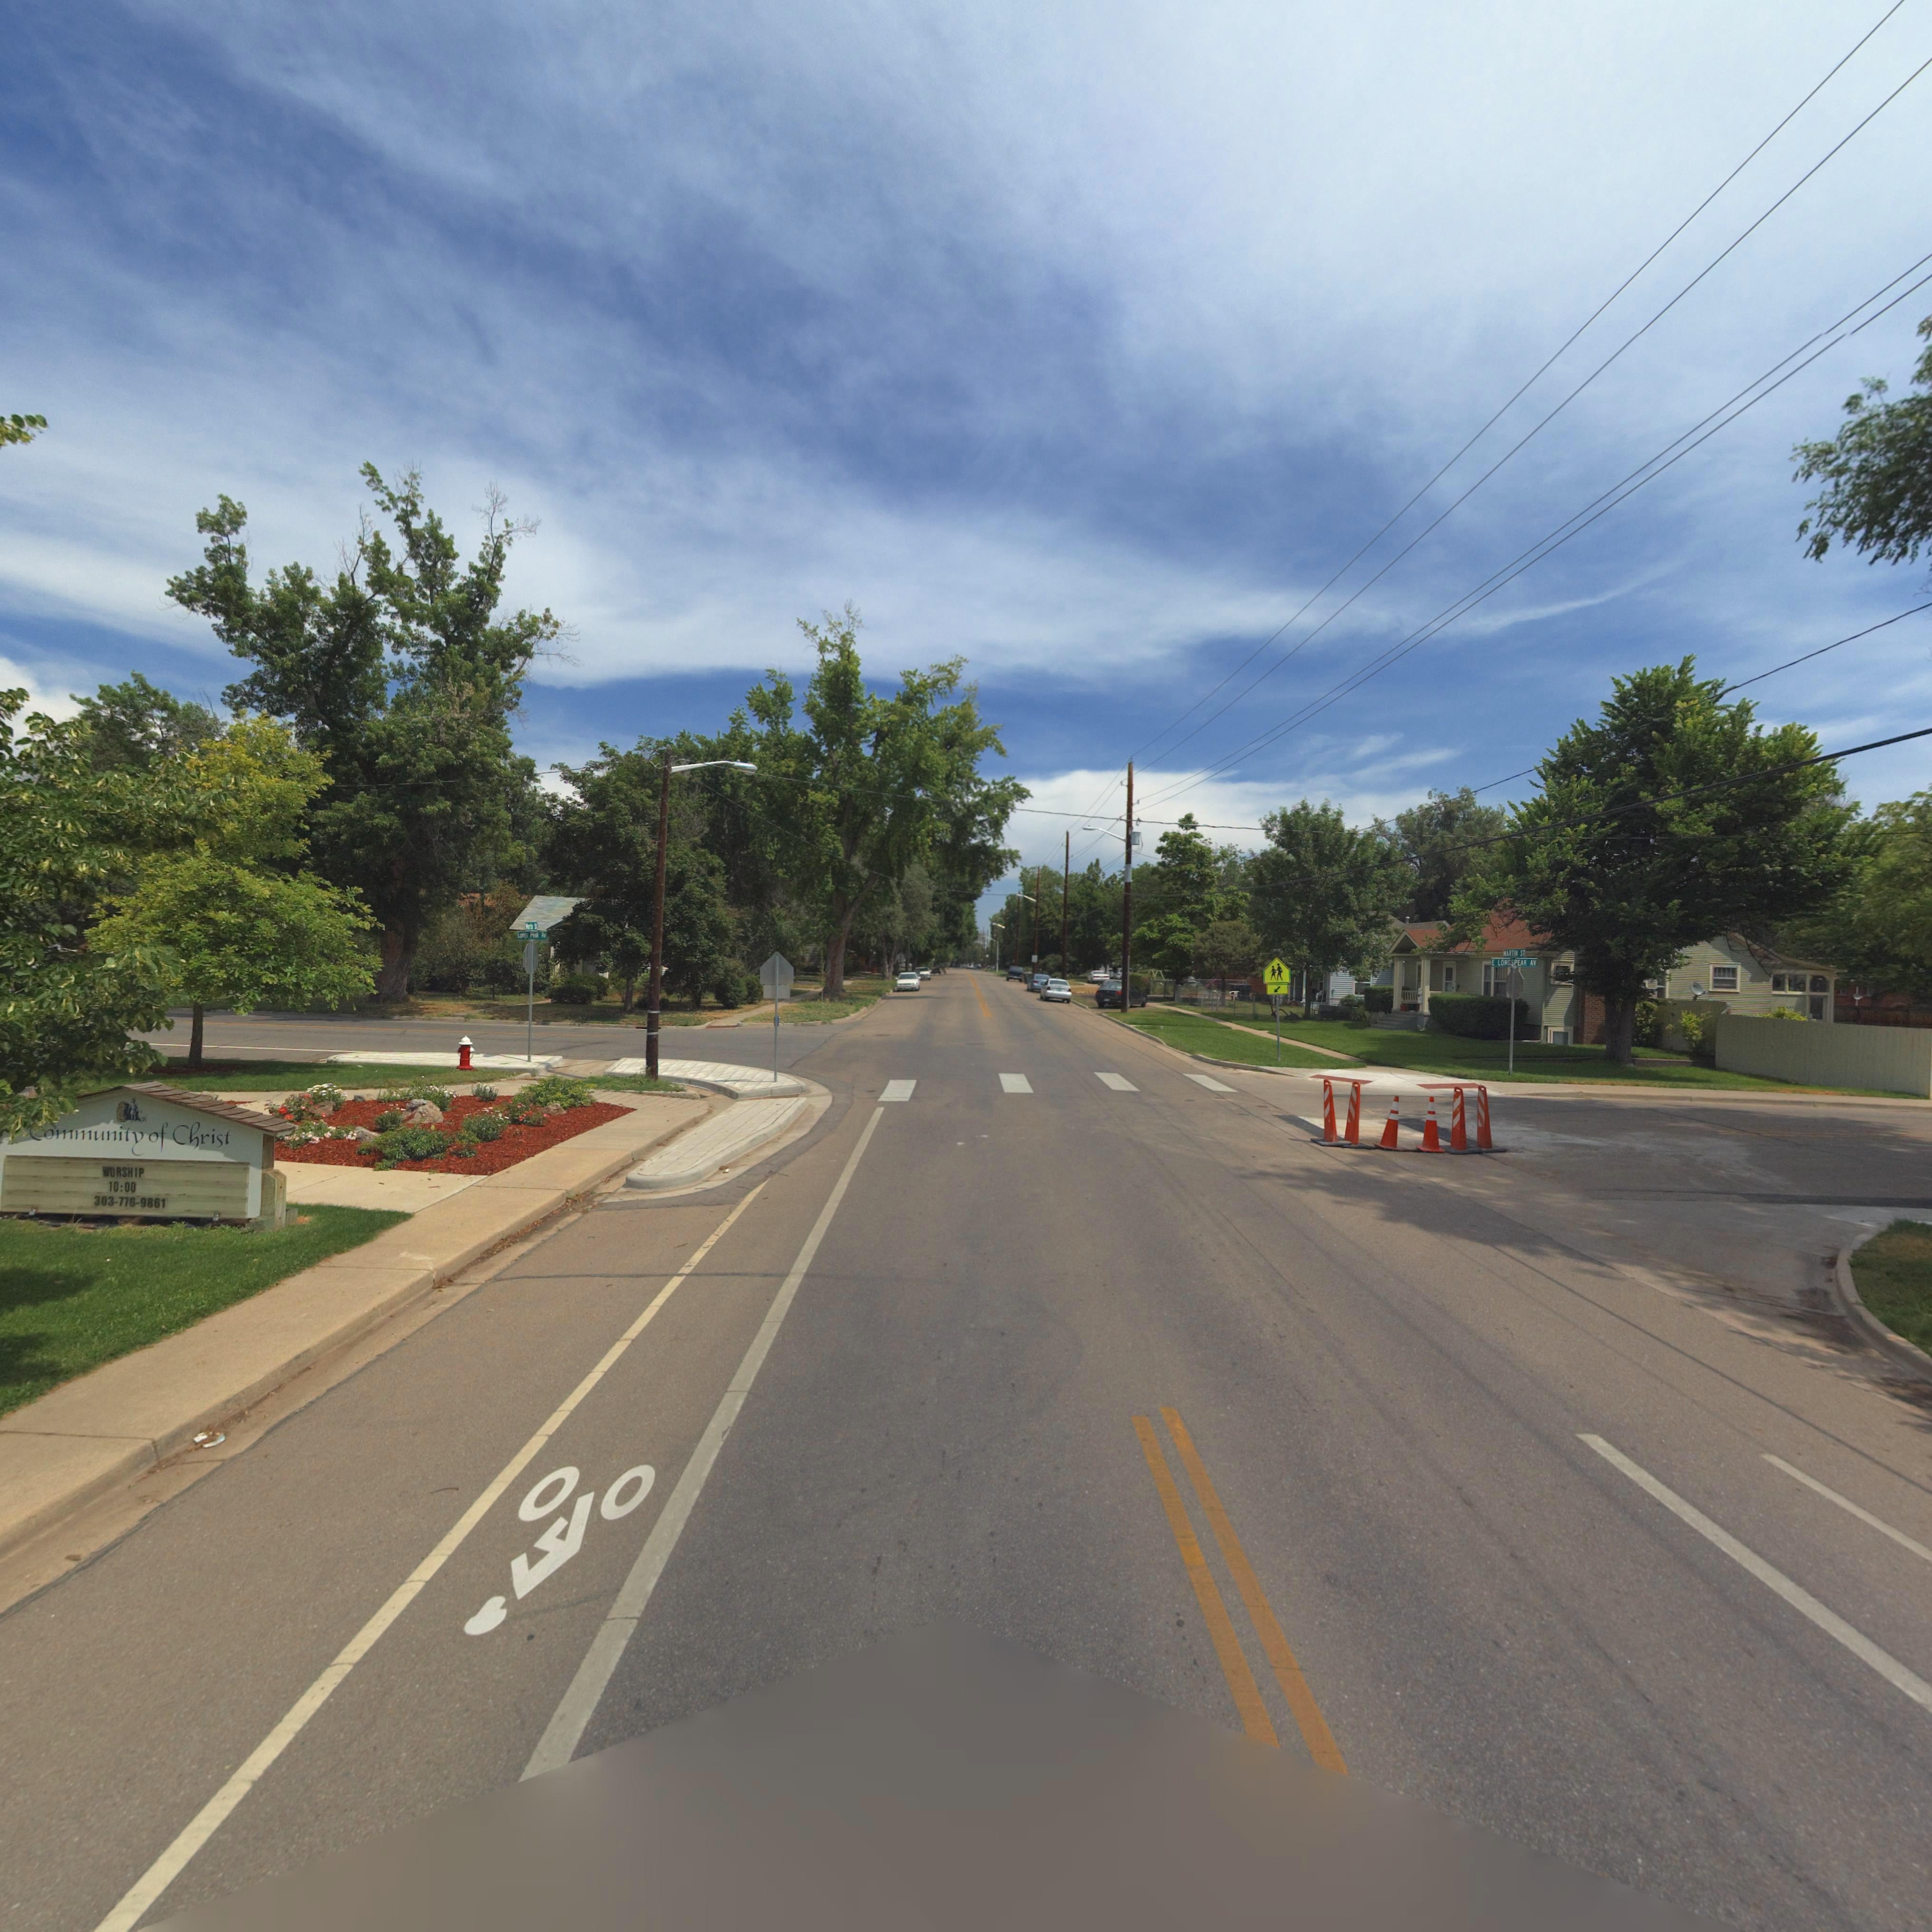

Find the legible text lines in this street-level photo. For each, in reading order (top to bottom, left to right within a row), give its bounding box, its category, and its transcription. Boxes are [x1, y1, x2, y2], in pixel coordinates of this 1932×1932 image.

[517, 931, 546, 940] StreetName: Longs Peak Av
[1503, 949, 1525, 956] StreetName: MARTIN ST
[1492, 959, 1536, 966] StreetName: E LONGSPEAK AV
[28, 1119, 231, 1151] BusinessName: *ommunity of Christ